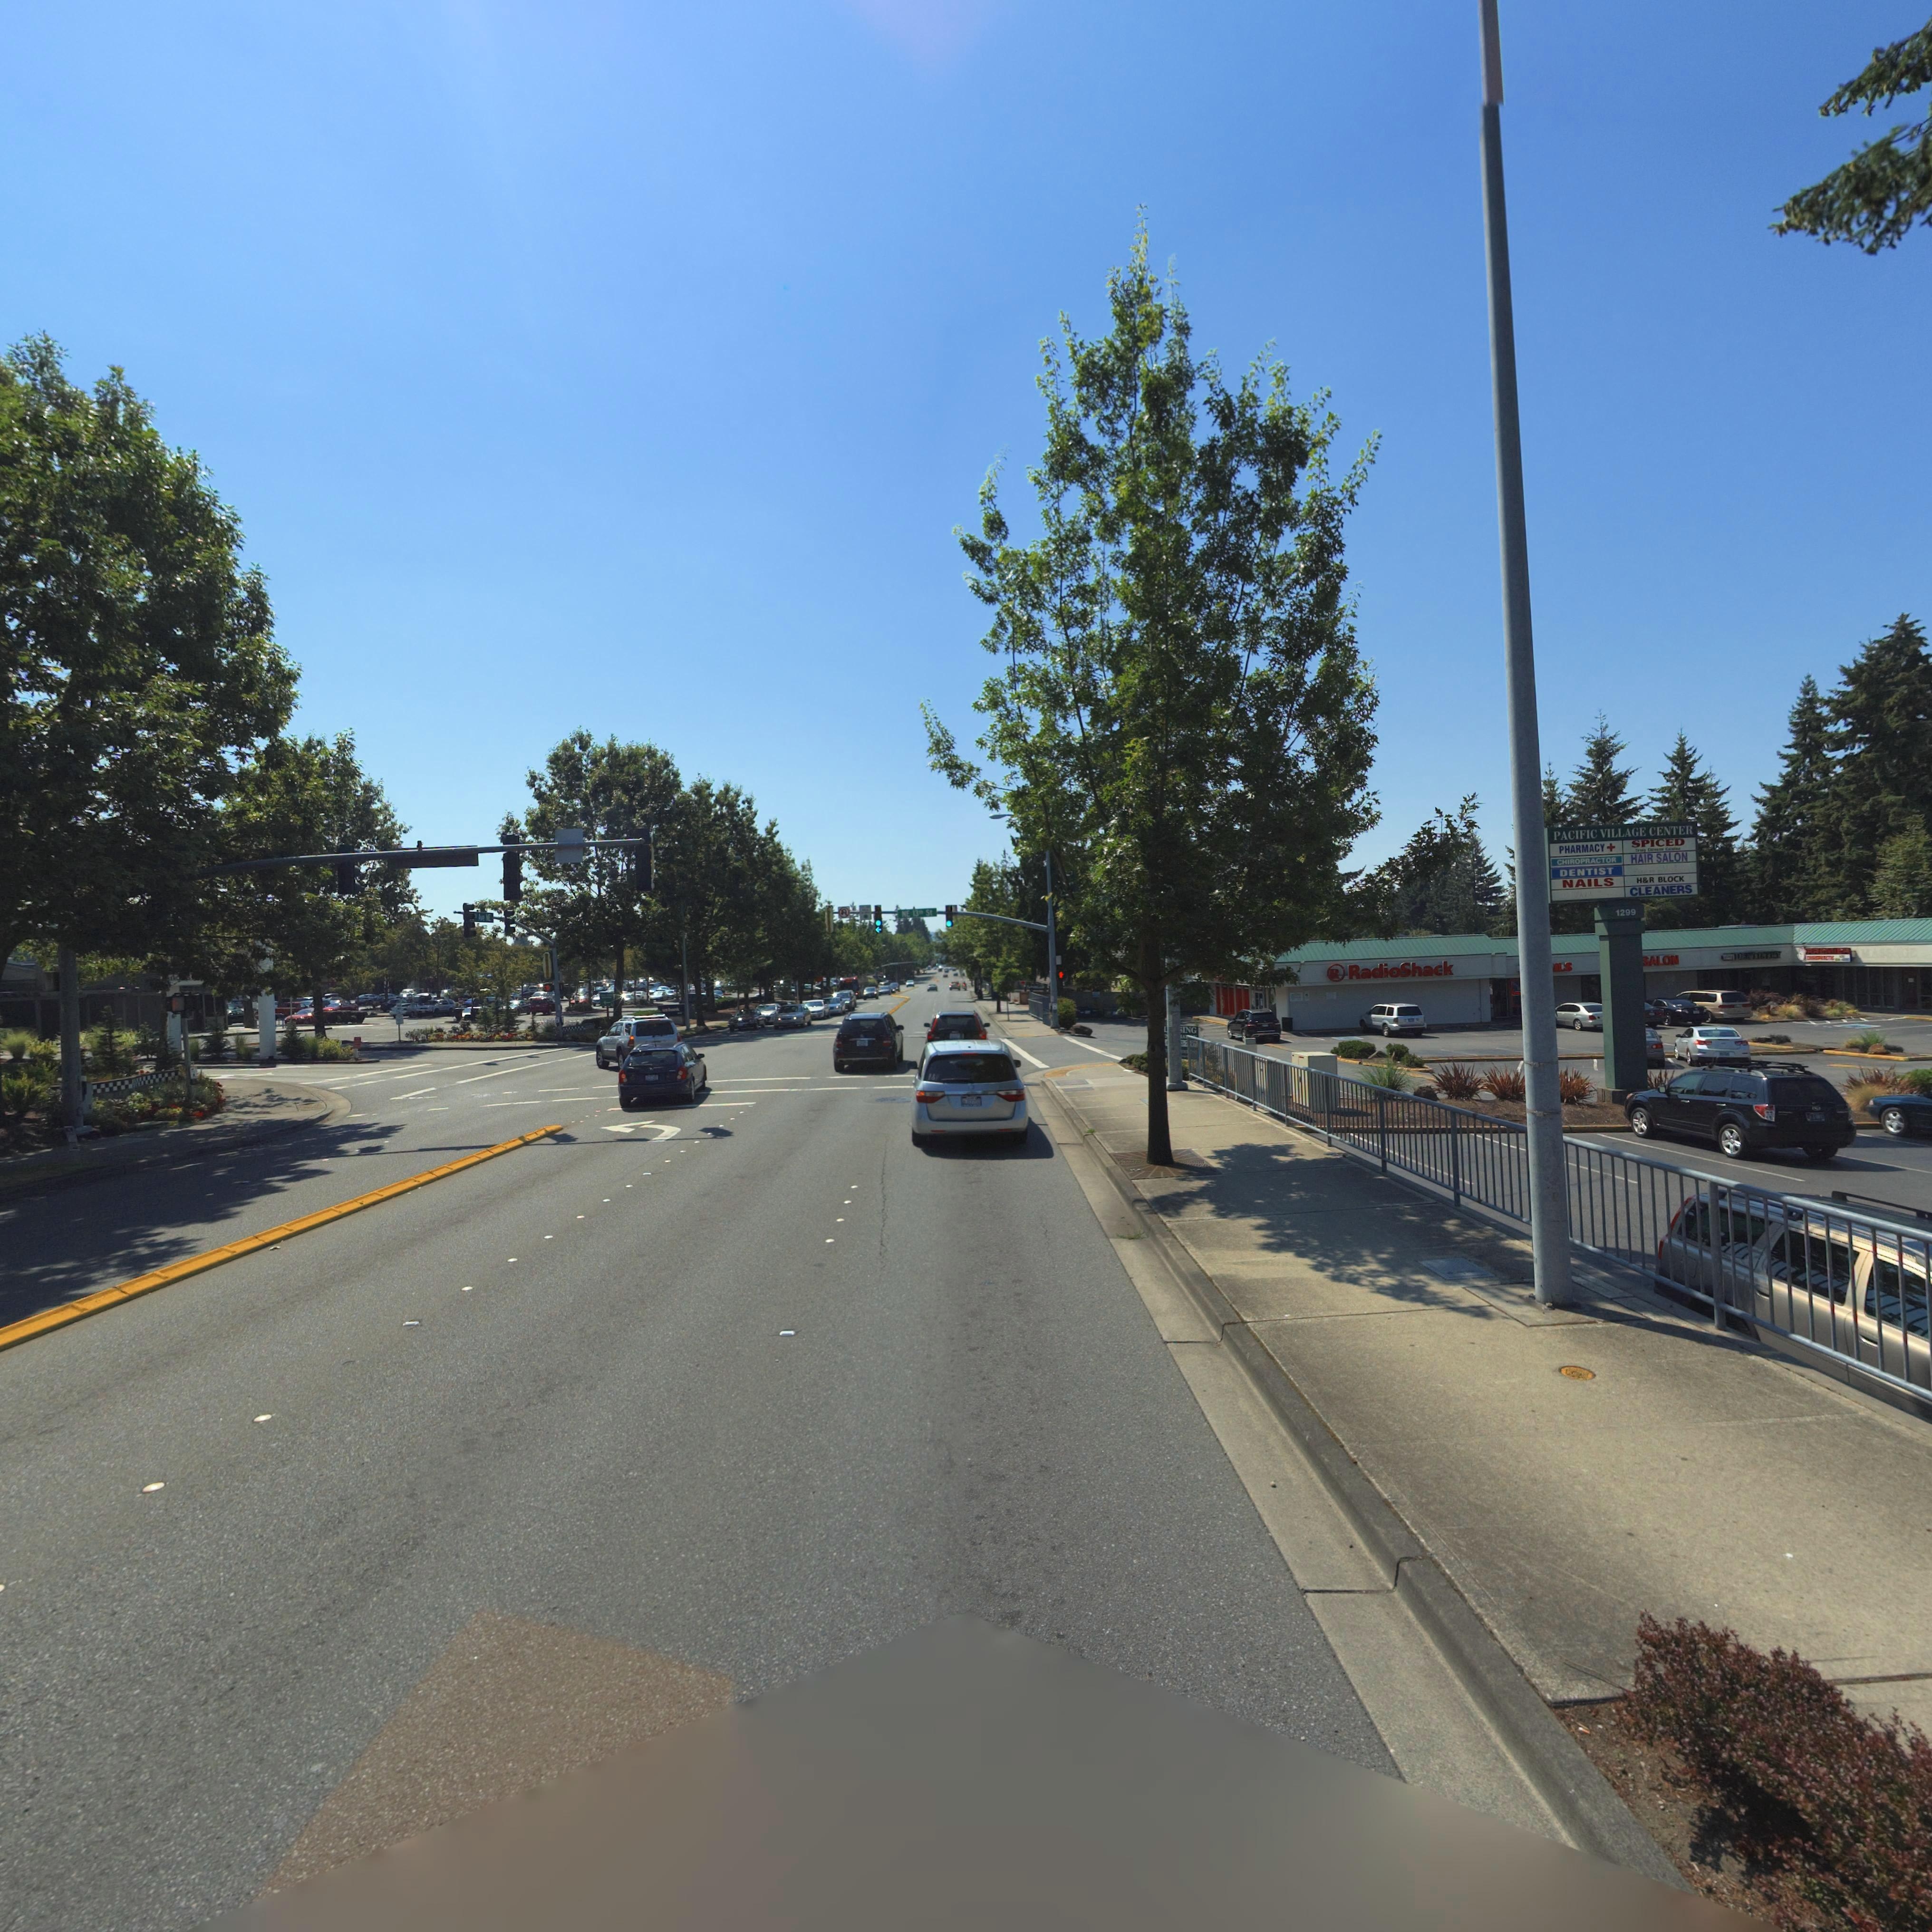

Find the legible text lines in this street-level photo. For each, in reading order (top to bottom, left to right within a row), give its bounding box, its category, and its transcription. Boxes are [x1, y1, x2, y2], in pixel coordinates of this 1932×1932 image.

[1630, 837, 1686, 848] BusinessName: SPICED
[1559, 843, 1606, 854] BusinessName: PHARMACY
[1631, 851, 1689, 864] BusinessName: HAIR SALON
[1559, 867, 1614, 877] BusinessName: DENTIST
[1561, 877, 1614, 889] BusinessName: NAILS
[1636, 875, 1686, 885] BusinessName: H*R BLOCK
[1629, 884, 1693, 896] BusinessName: CLEANERS
[901, 908, 933, 917] StreetName: NE 13** St
[1615, 909, 1635, 916] StreetNumber: 1299
[1643, 954, 1681, 966] BusinessName: SALON
[1348, 962, 1454, 980] BusinessName: RadioShack